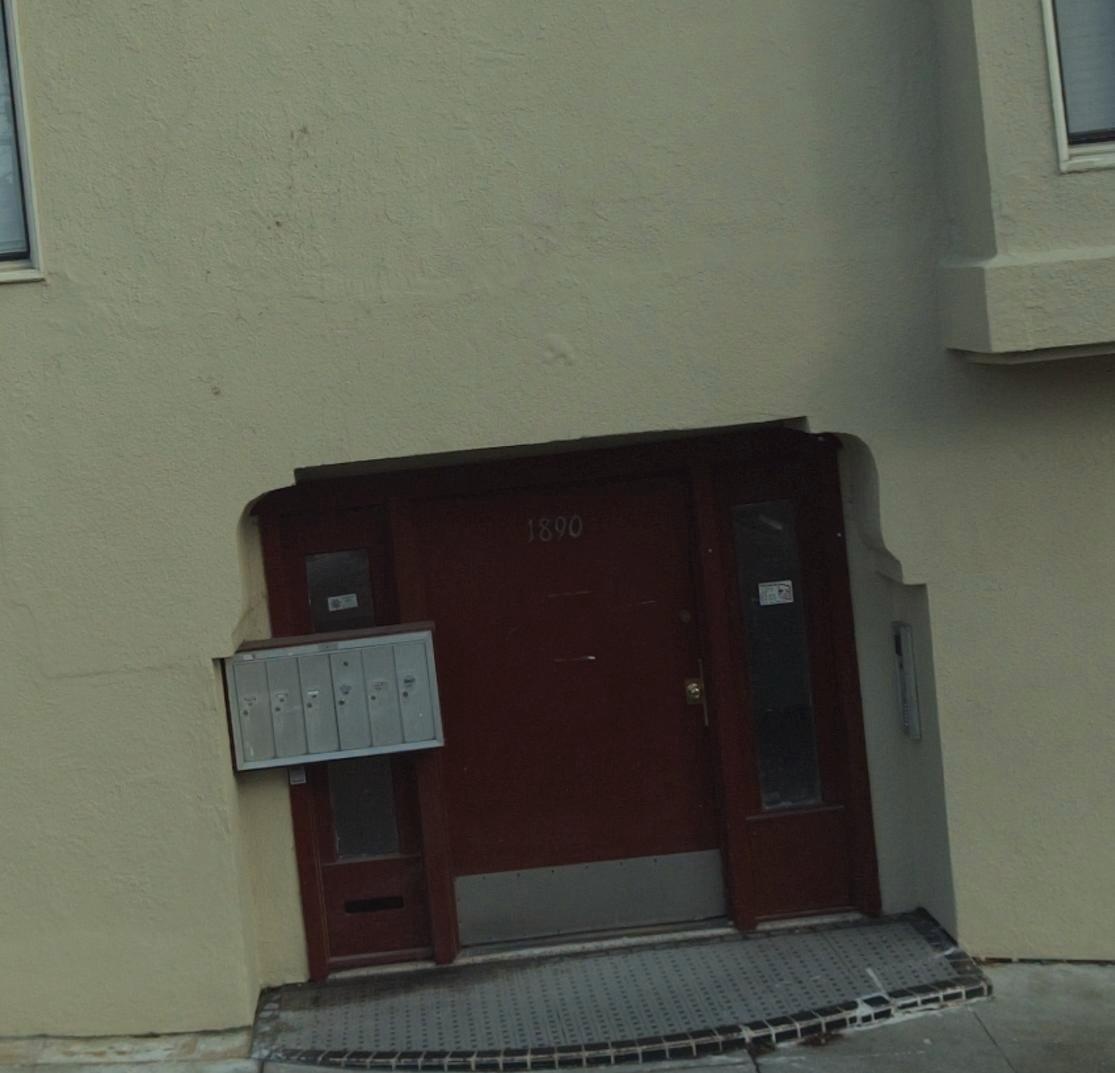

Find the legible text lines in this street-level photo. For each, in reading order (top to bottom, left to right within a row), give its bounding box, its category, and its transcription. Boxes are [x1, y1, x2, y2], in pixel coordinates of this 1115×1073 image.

[524, 511, 585, 548] StreetNumber: 1890